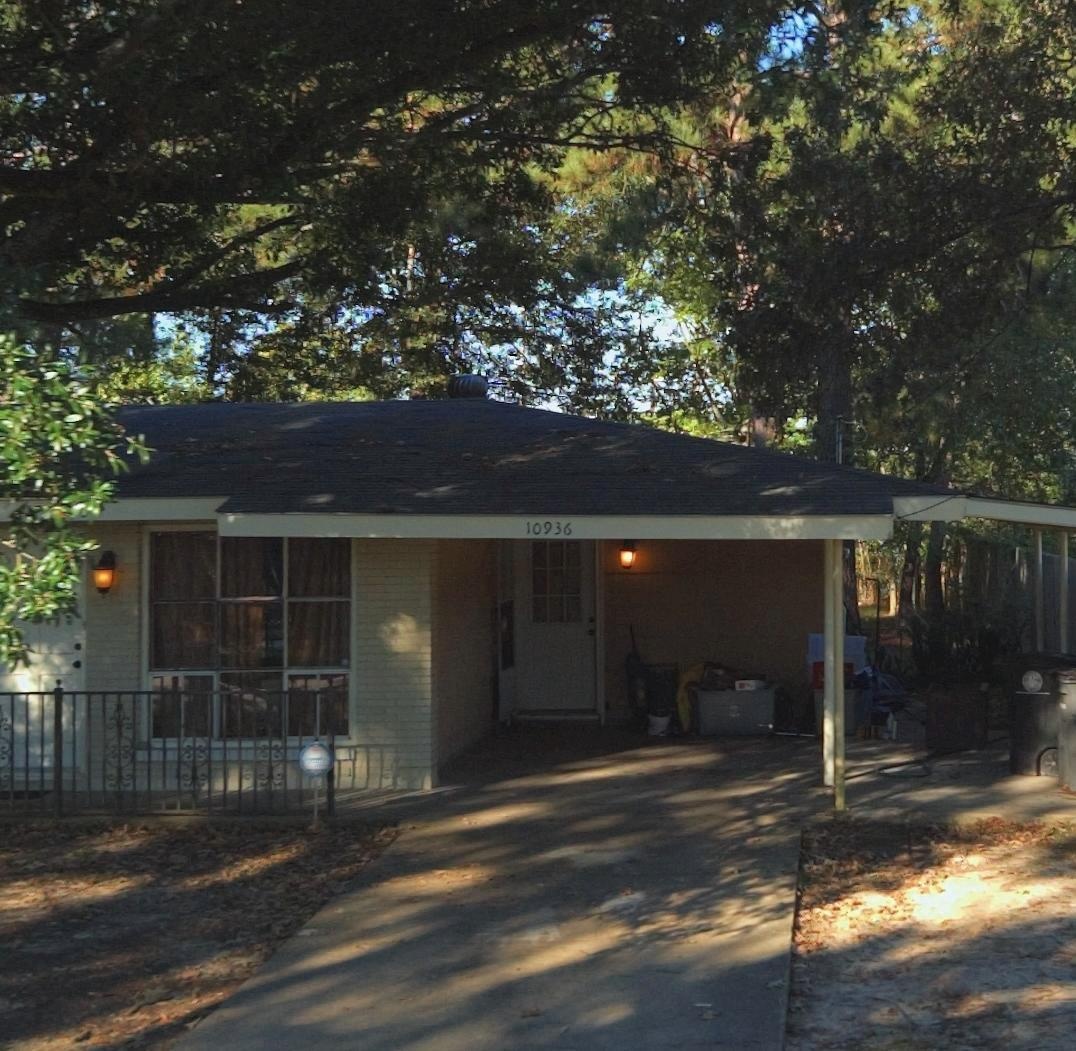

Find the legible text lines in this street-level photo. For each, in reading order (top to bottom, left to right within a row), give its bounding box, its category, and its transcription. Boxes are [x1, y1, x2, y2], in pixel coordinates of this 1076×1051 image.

[525, 519, 574, 537] StreetNumber: 10936